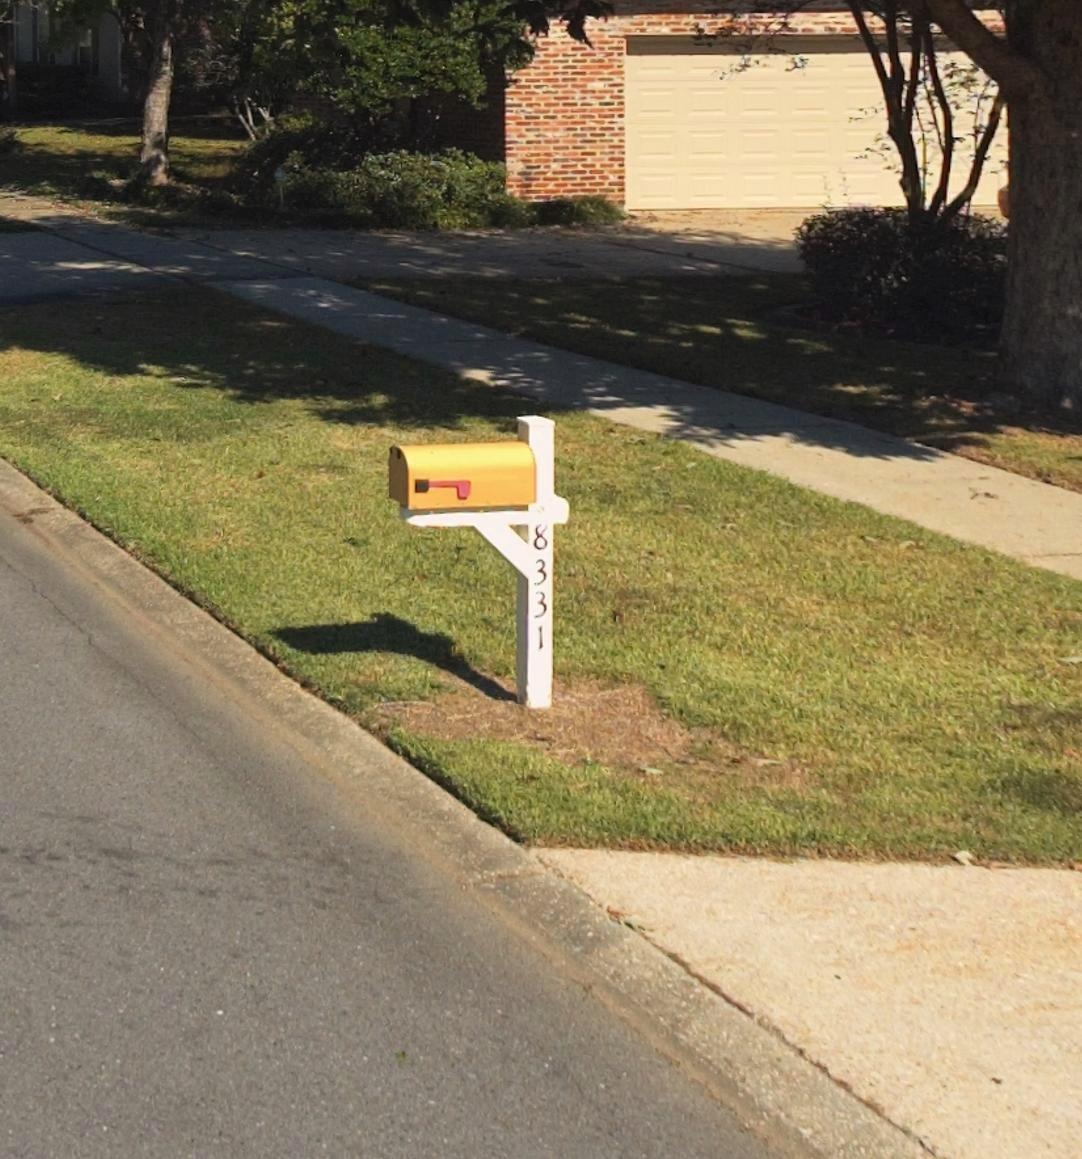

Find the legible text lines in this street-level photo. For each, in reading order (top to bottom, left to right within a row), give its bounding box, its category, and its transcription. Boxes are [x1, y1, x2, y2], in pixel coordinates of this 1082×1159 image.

[532, 524, 549, 650] StreetNumber: 8331